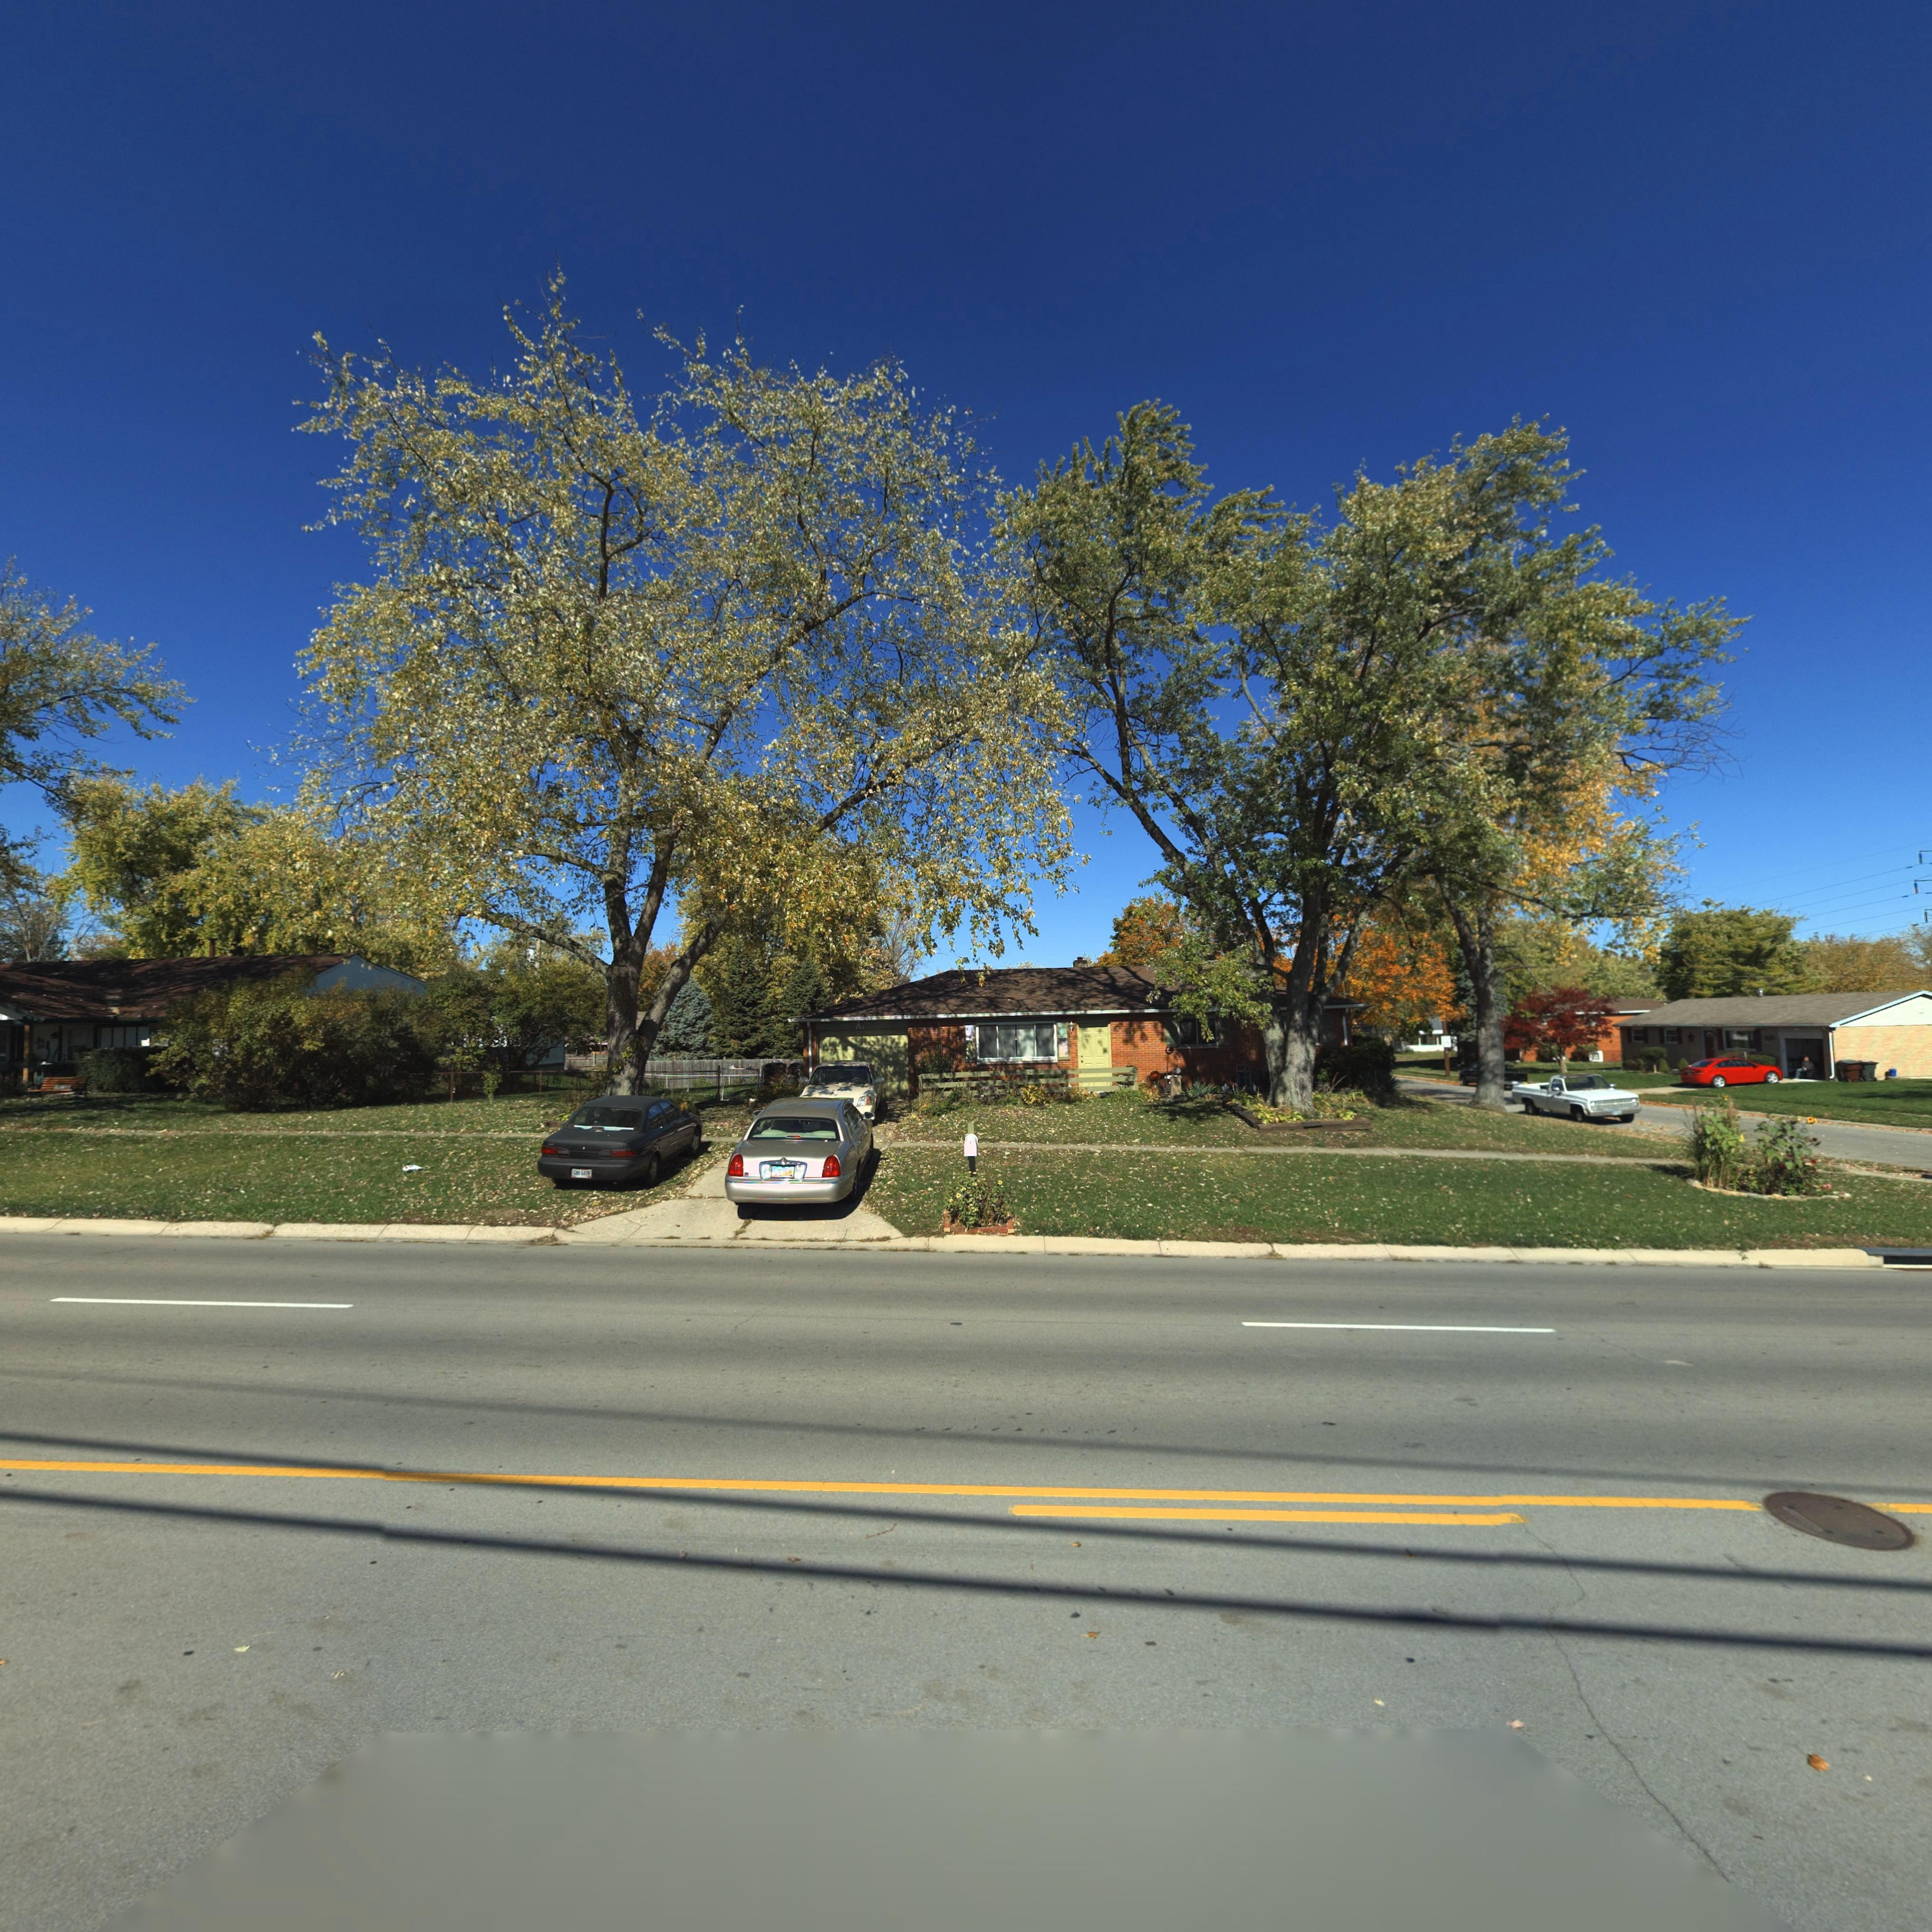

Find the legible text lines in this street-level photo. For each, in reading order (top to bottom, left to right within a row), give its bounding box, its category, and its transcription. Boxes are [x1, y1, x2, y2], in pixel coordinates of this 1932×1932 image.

[855, 1025, 865, 1030] StreetNumber: **1
[573, 1169, 590, 1176] None: \